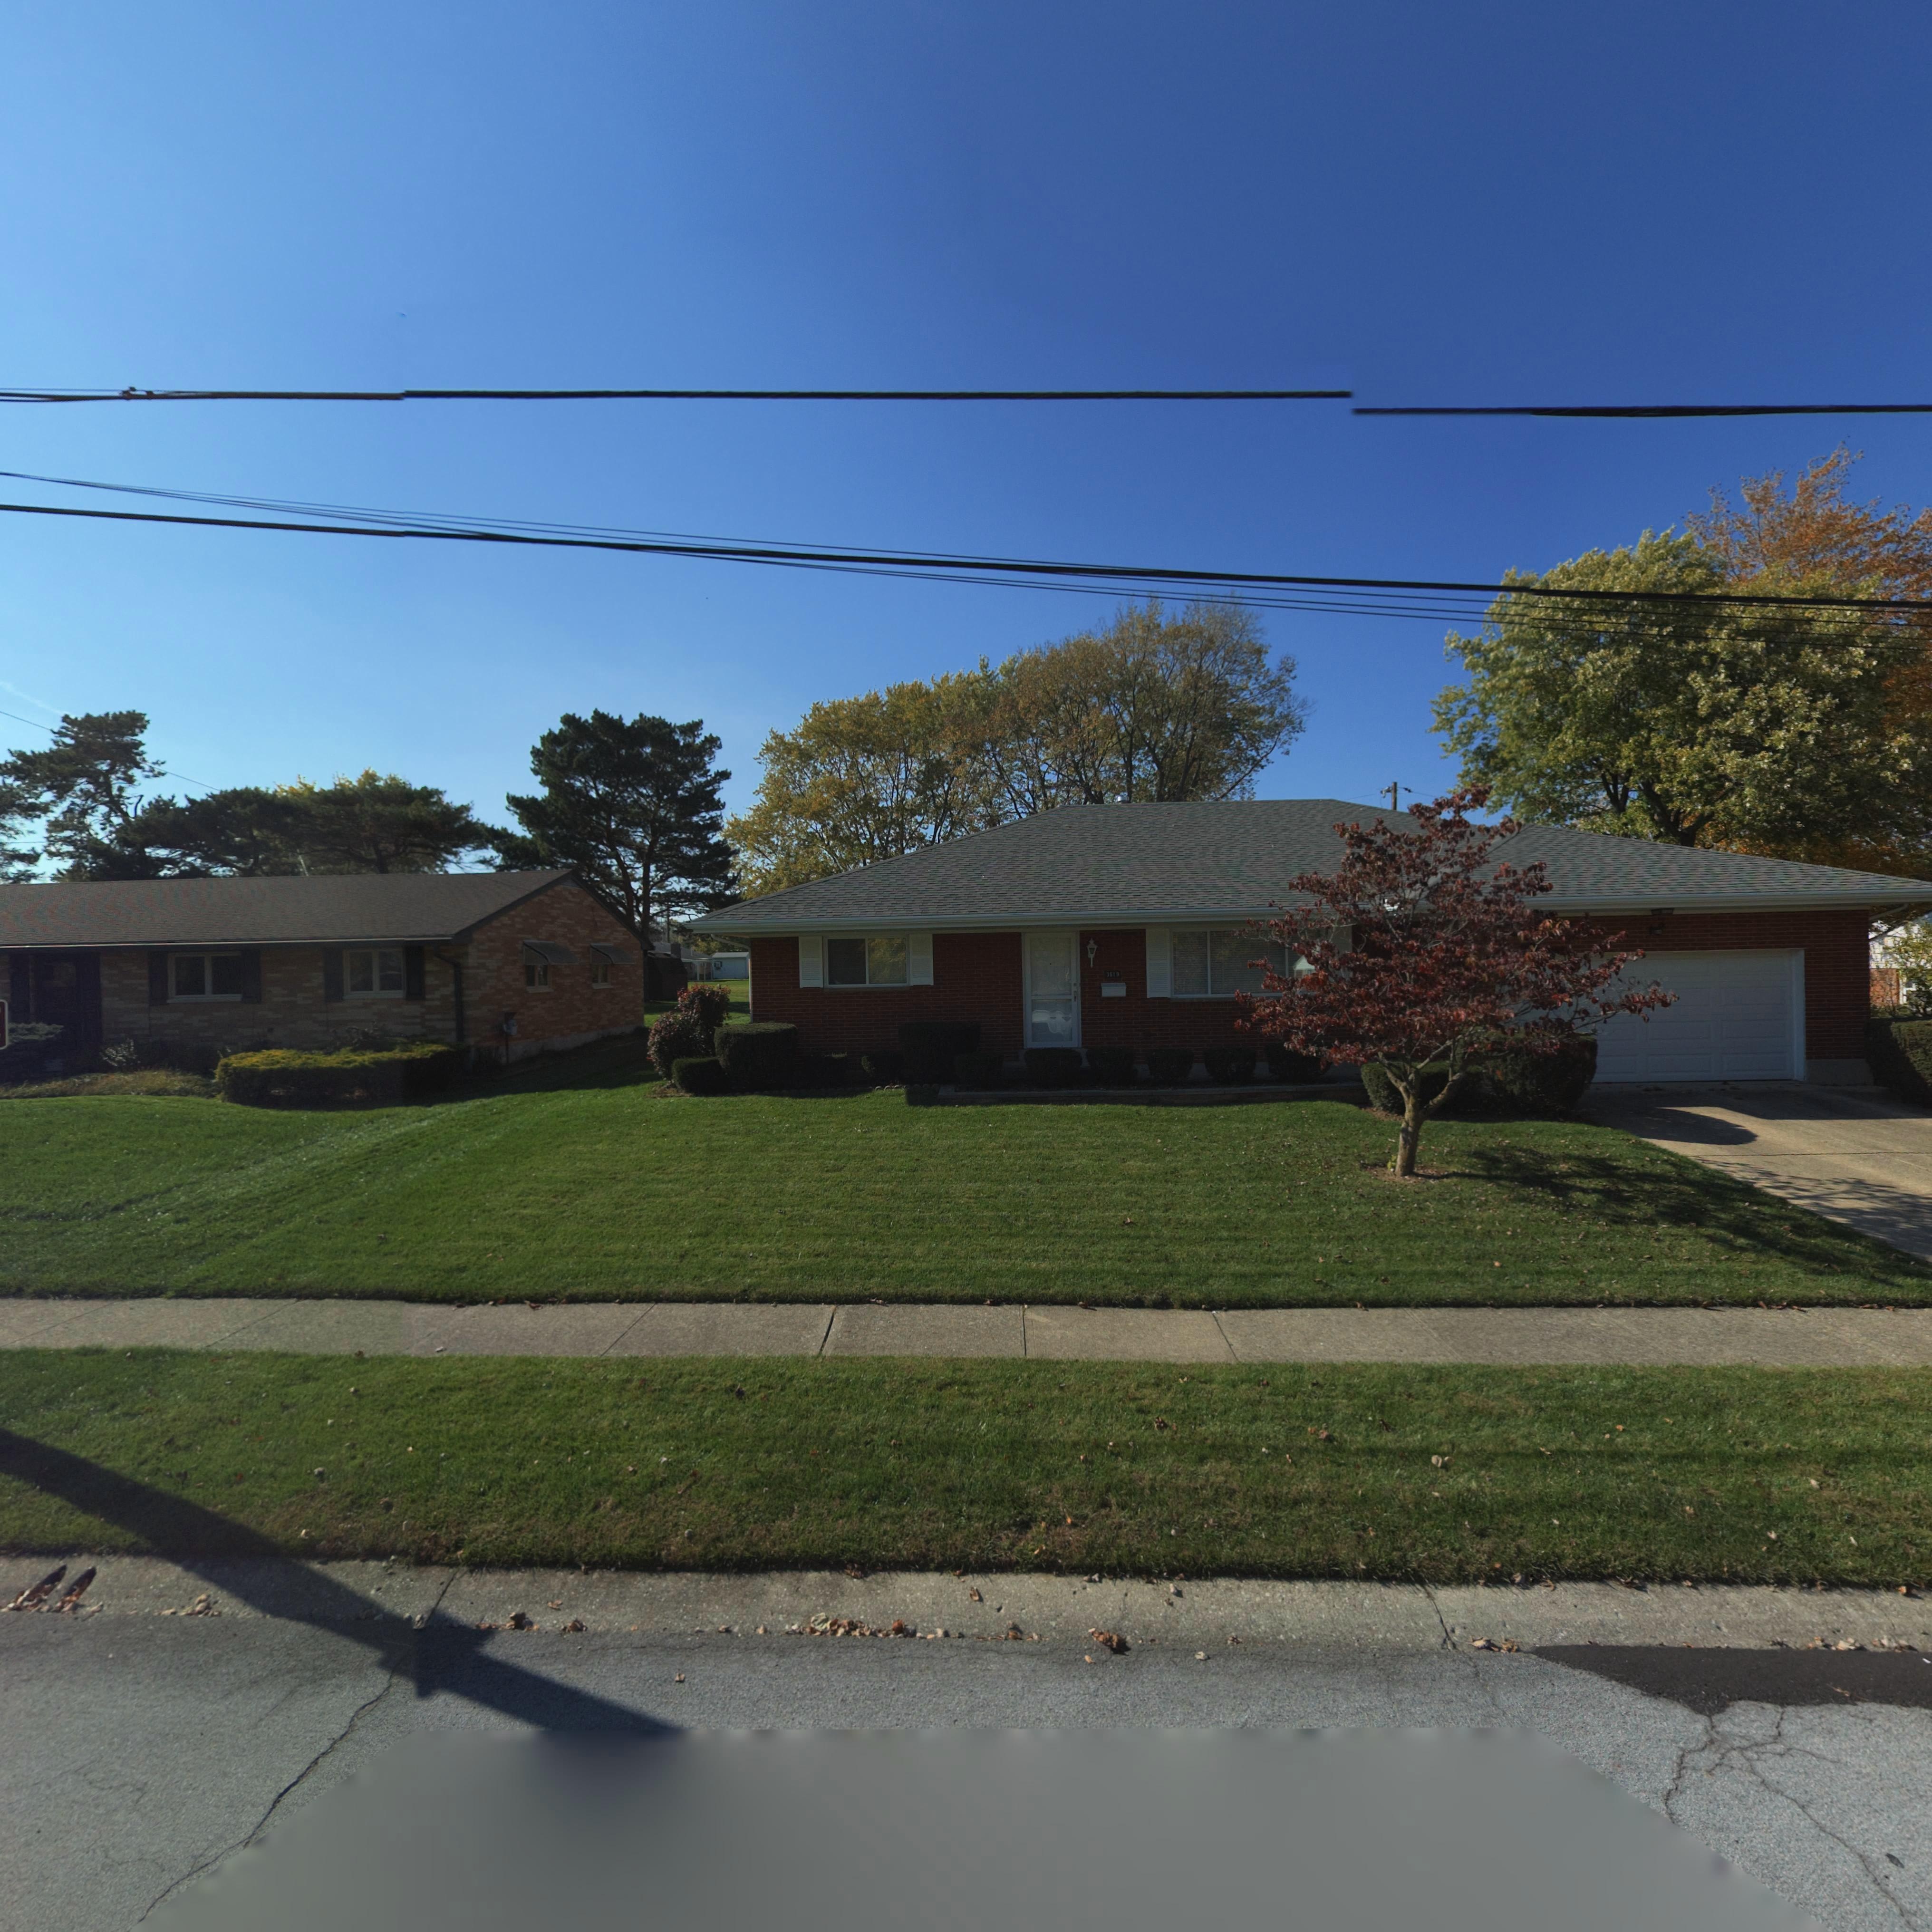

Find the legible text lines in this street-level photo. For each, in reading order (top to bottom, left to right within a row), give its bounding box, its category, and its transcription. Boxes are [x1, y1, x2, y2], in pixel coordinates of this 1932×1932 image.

[1106, 971, 1120, 977] StreetNumber: 3619